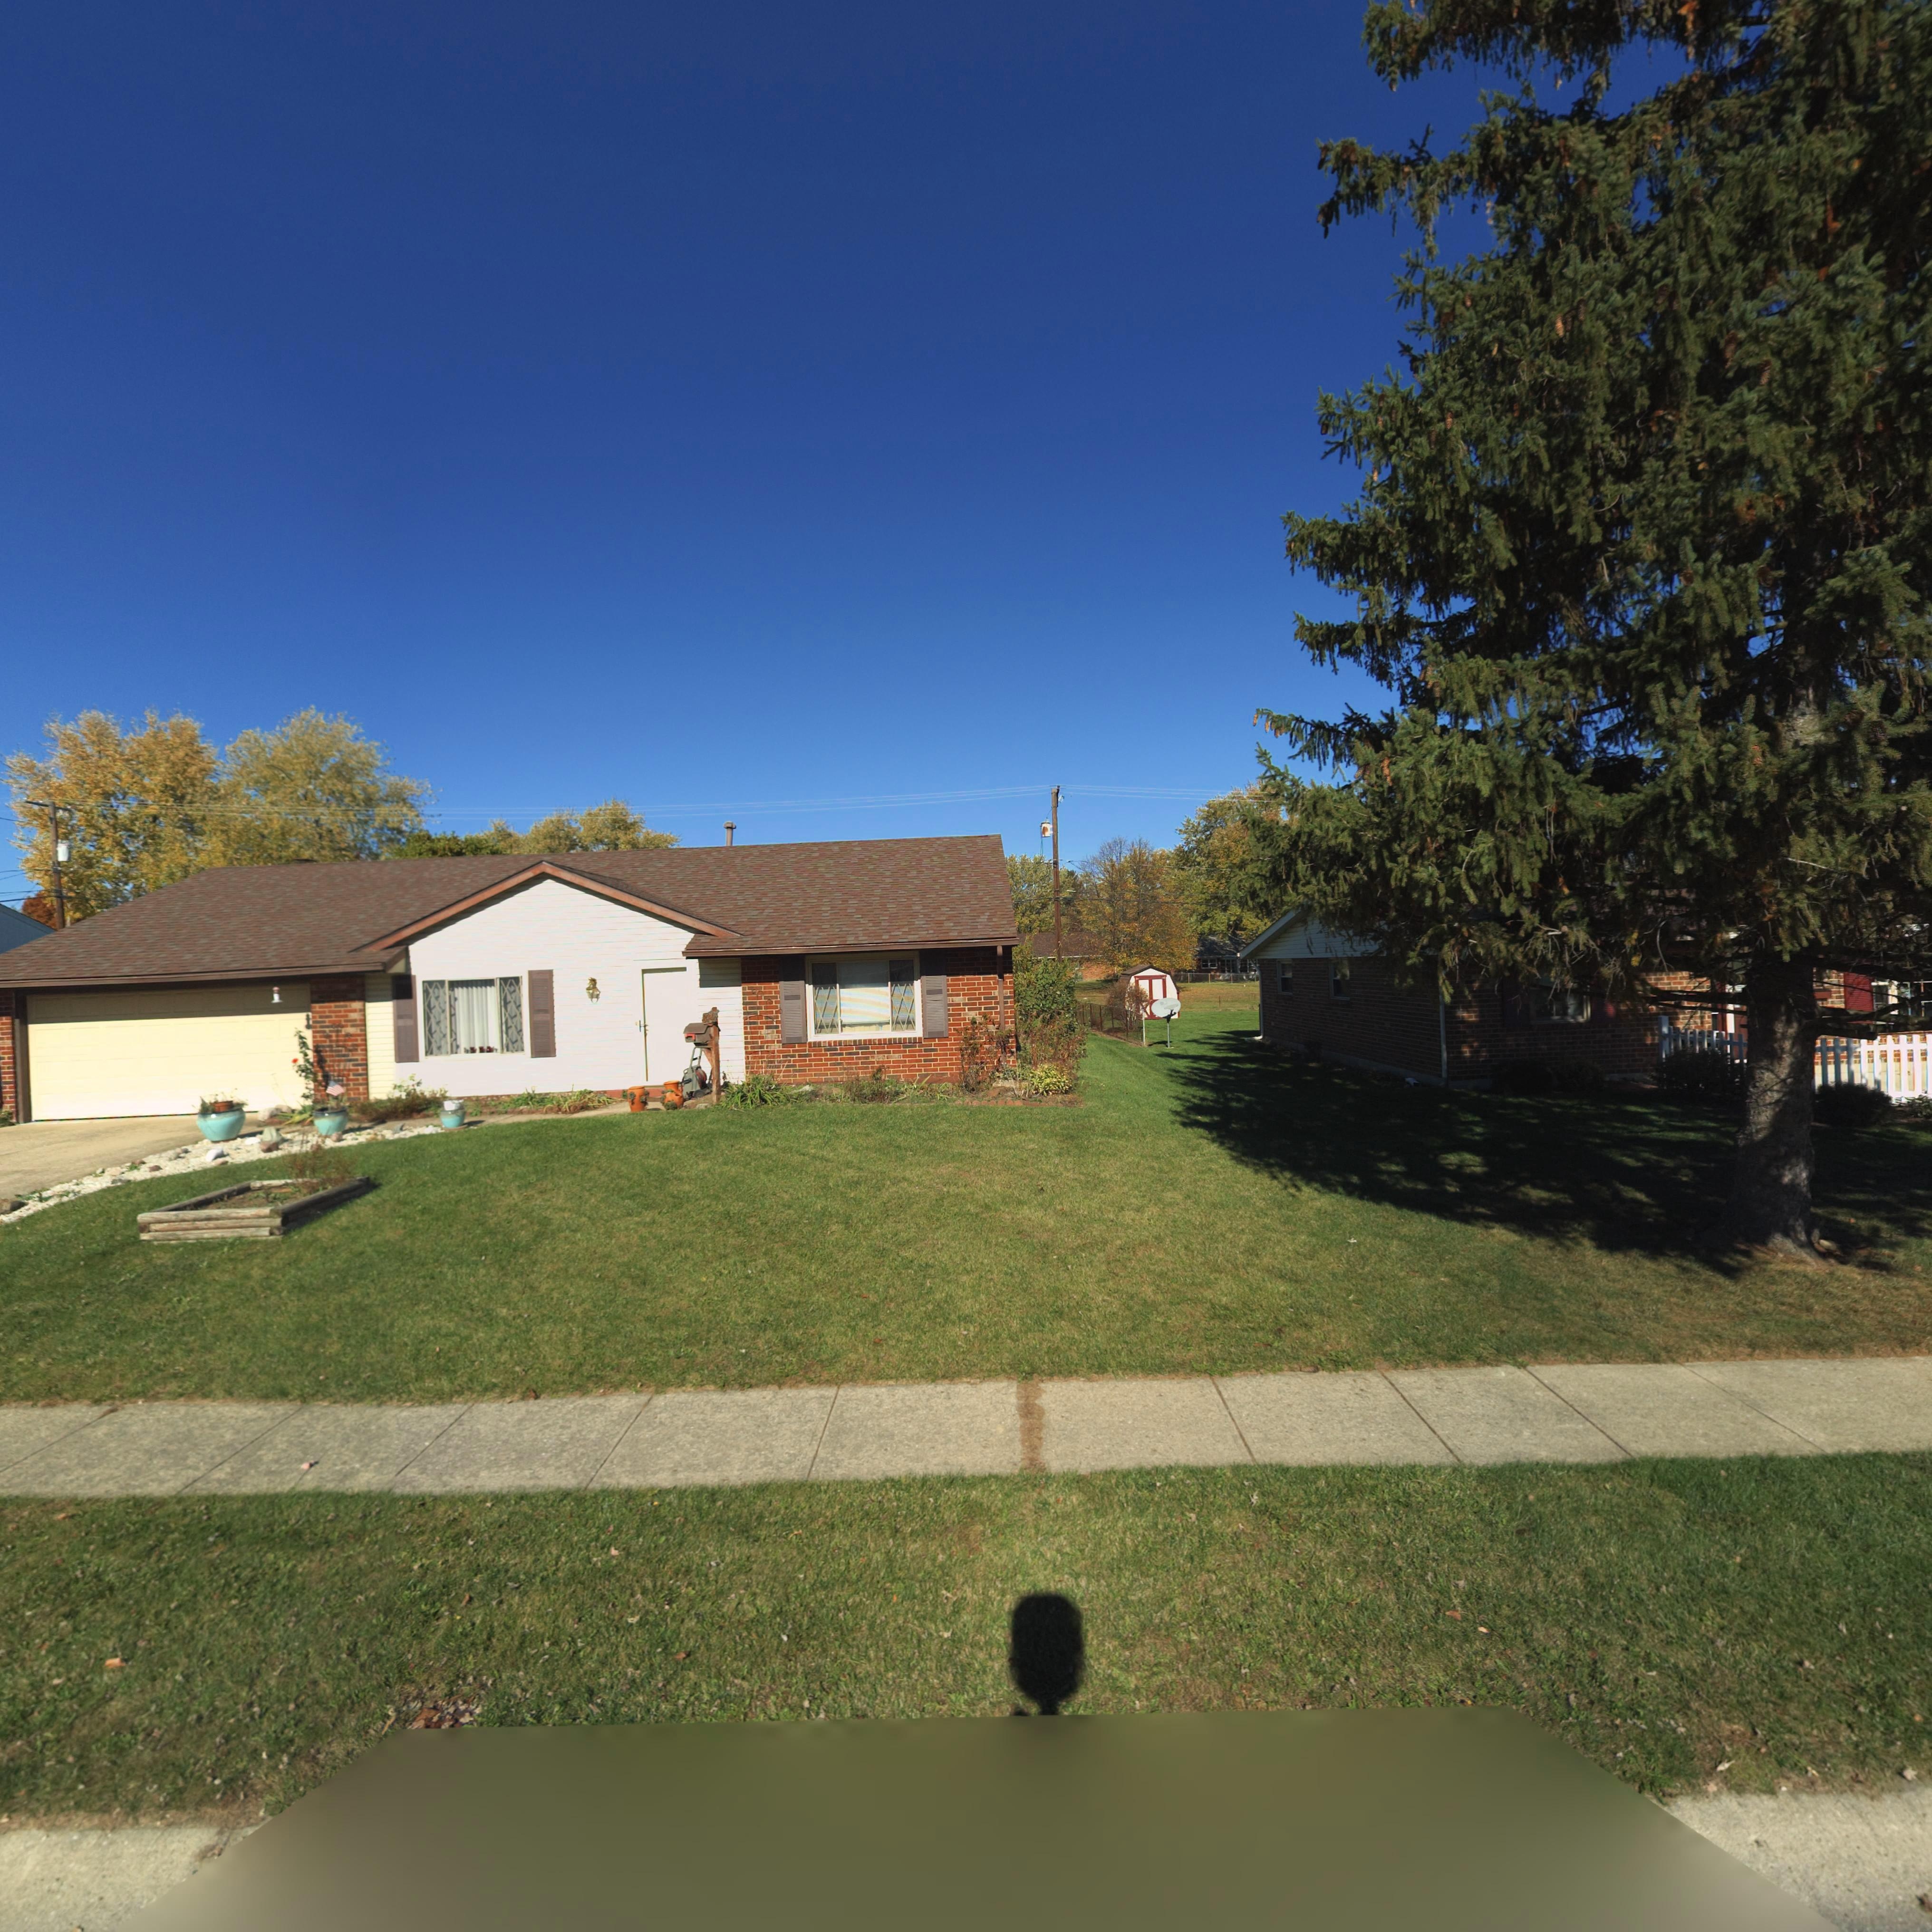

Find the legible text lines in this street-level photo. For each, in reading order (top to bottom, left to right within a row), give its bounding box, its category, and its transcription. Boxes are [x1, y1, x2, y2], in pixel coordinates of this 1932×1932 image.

[701, 1012, 715, 1024] StreetNumber: 814